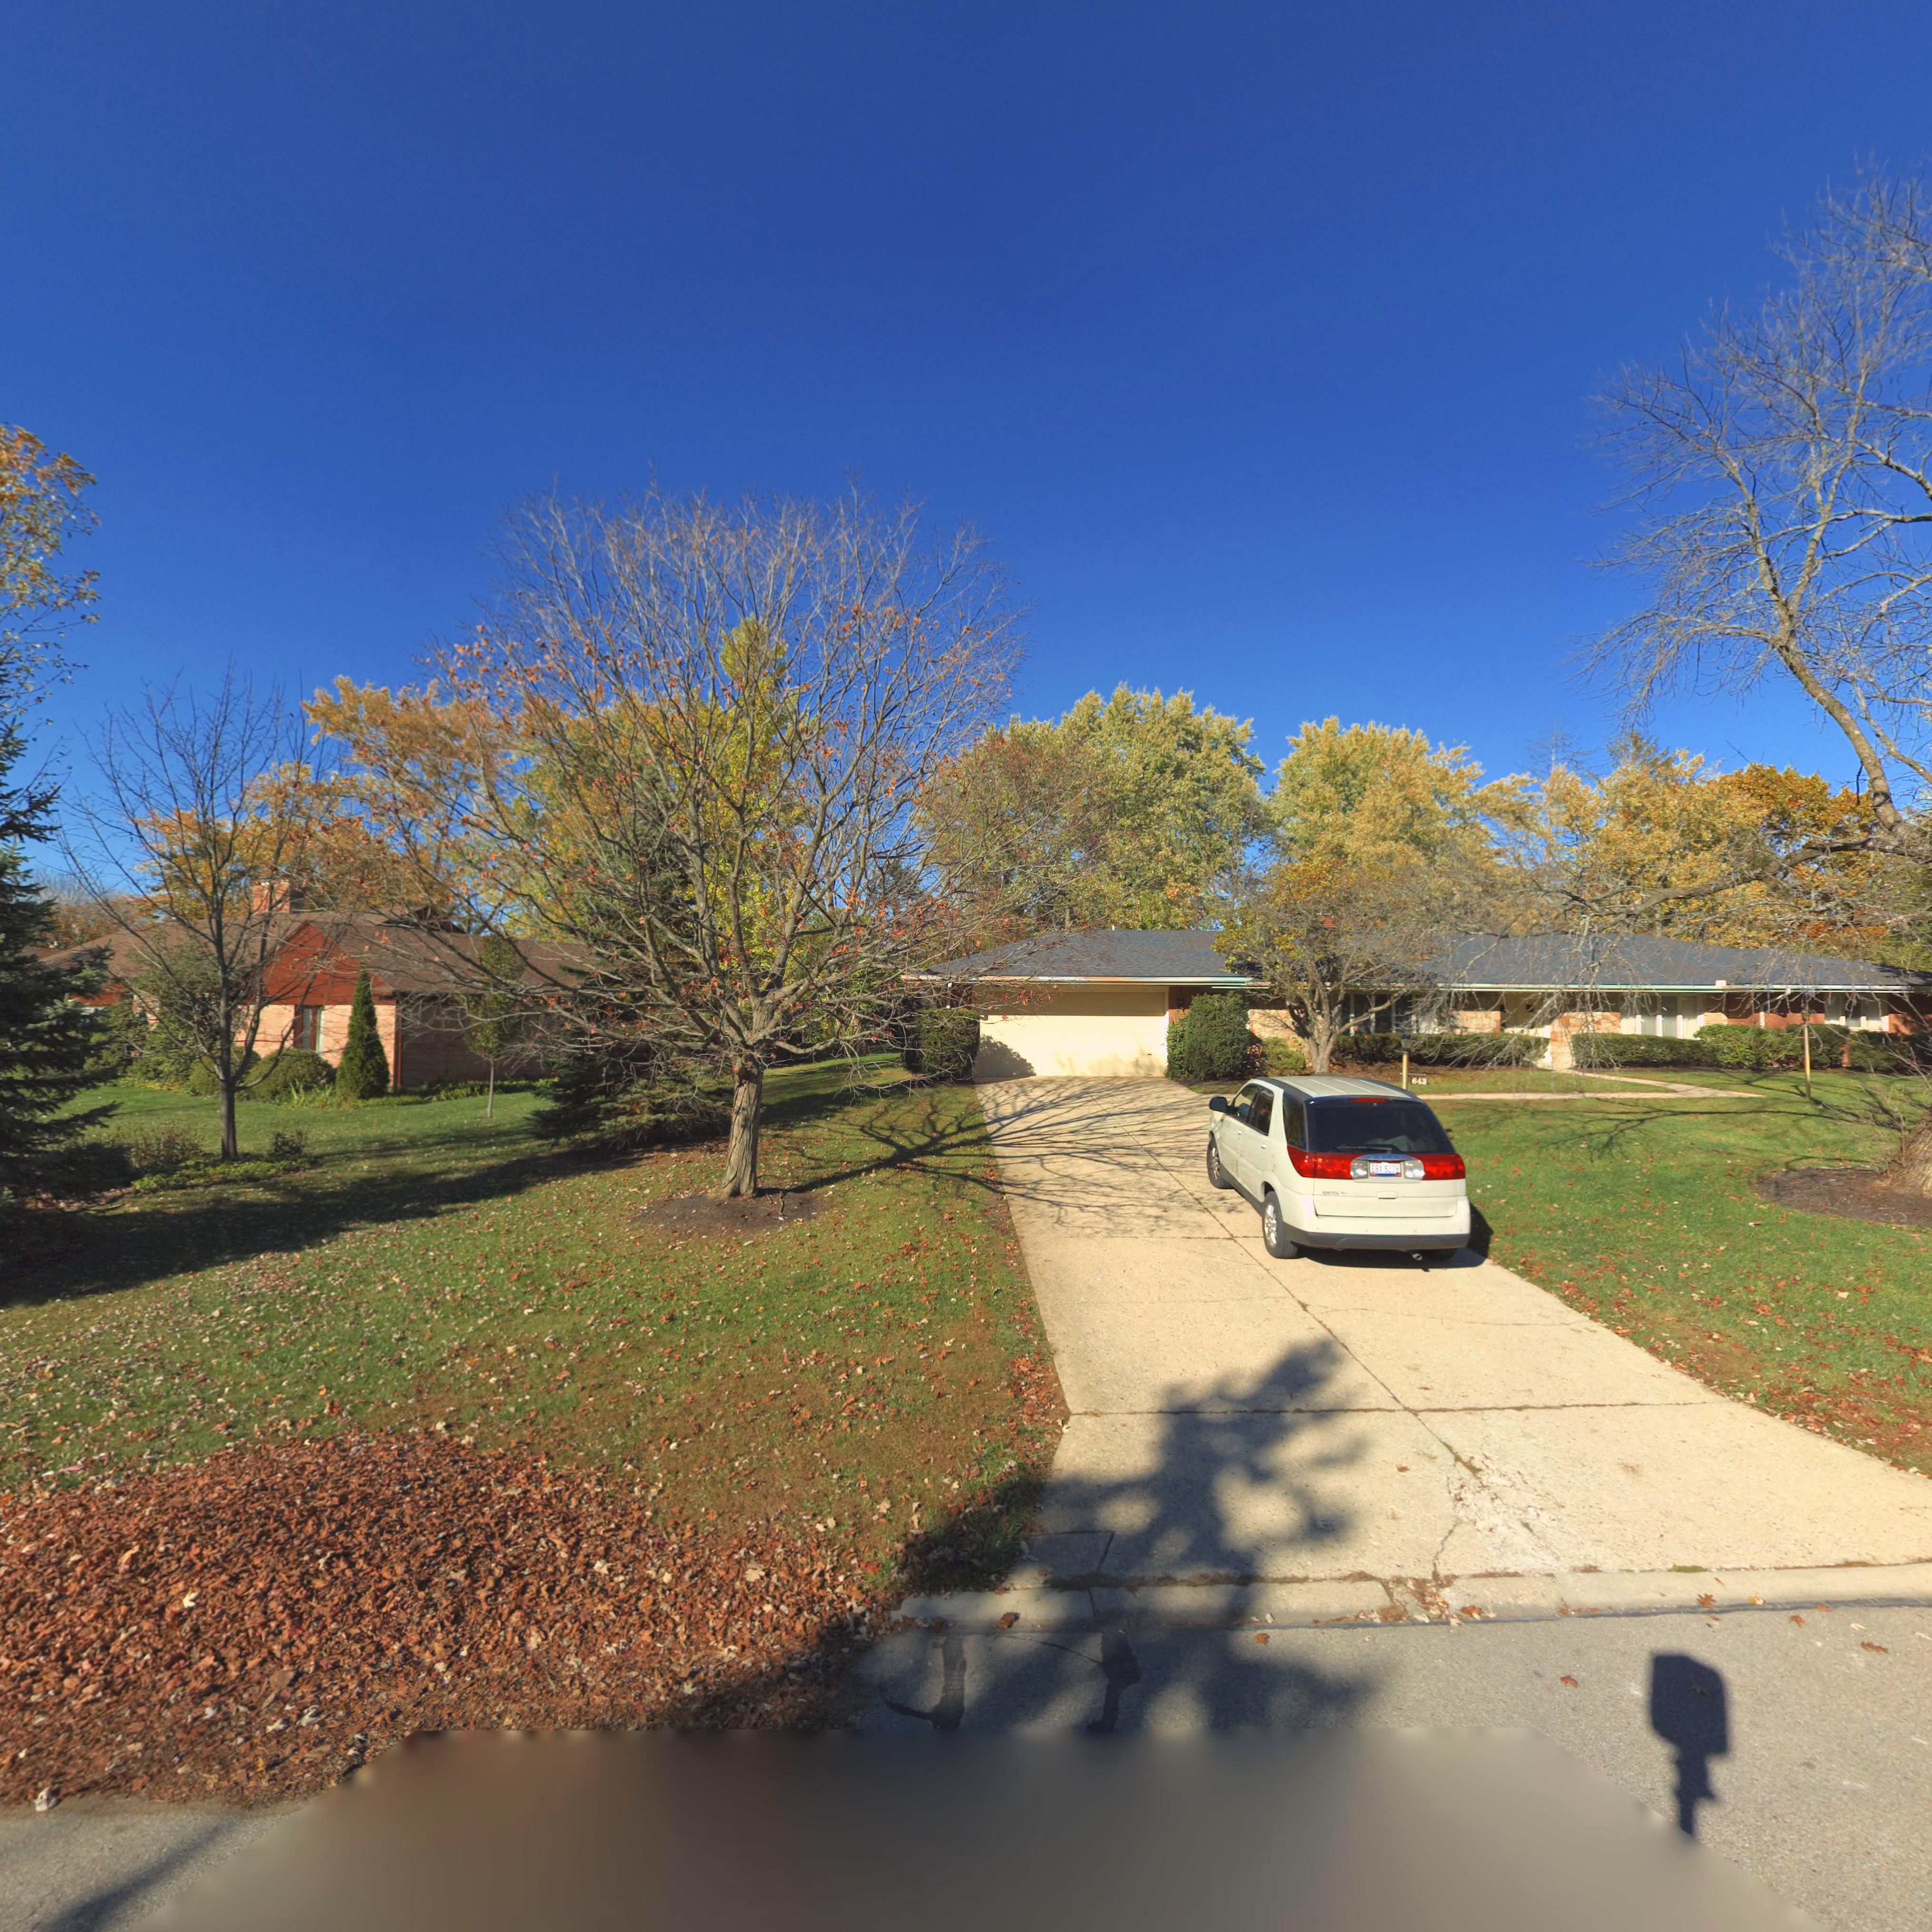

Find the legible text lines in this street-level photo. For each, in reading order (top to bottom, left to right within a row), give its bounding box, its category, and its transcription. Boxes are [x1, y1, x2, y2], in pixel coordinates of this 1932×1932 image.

[1410, 1076, 1427, 1085] StreetNumber: 643